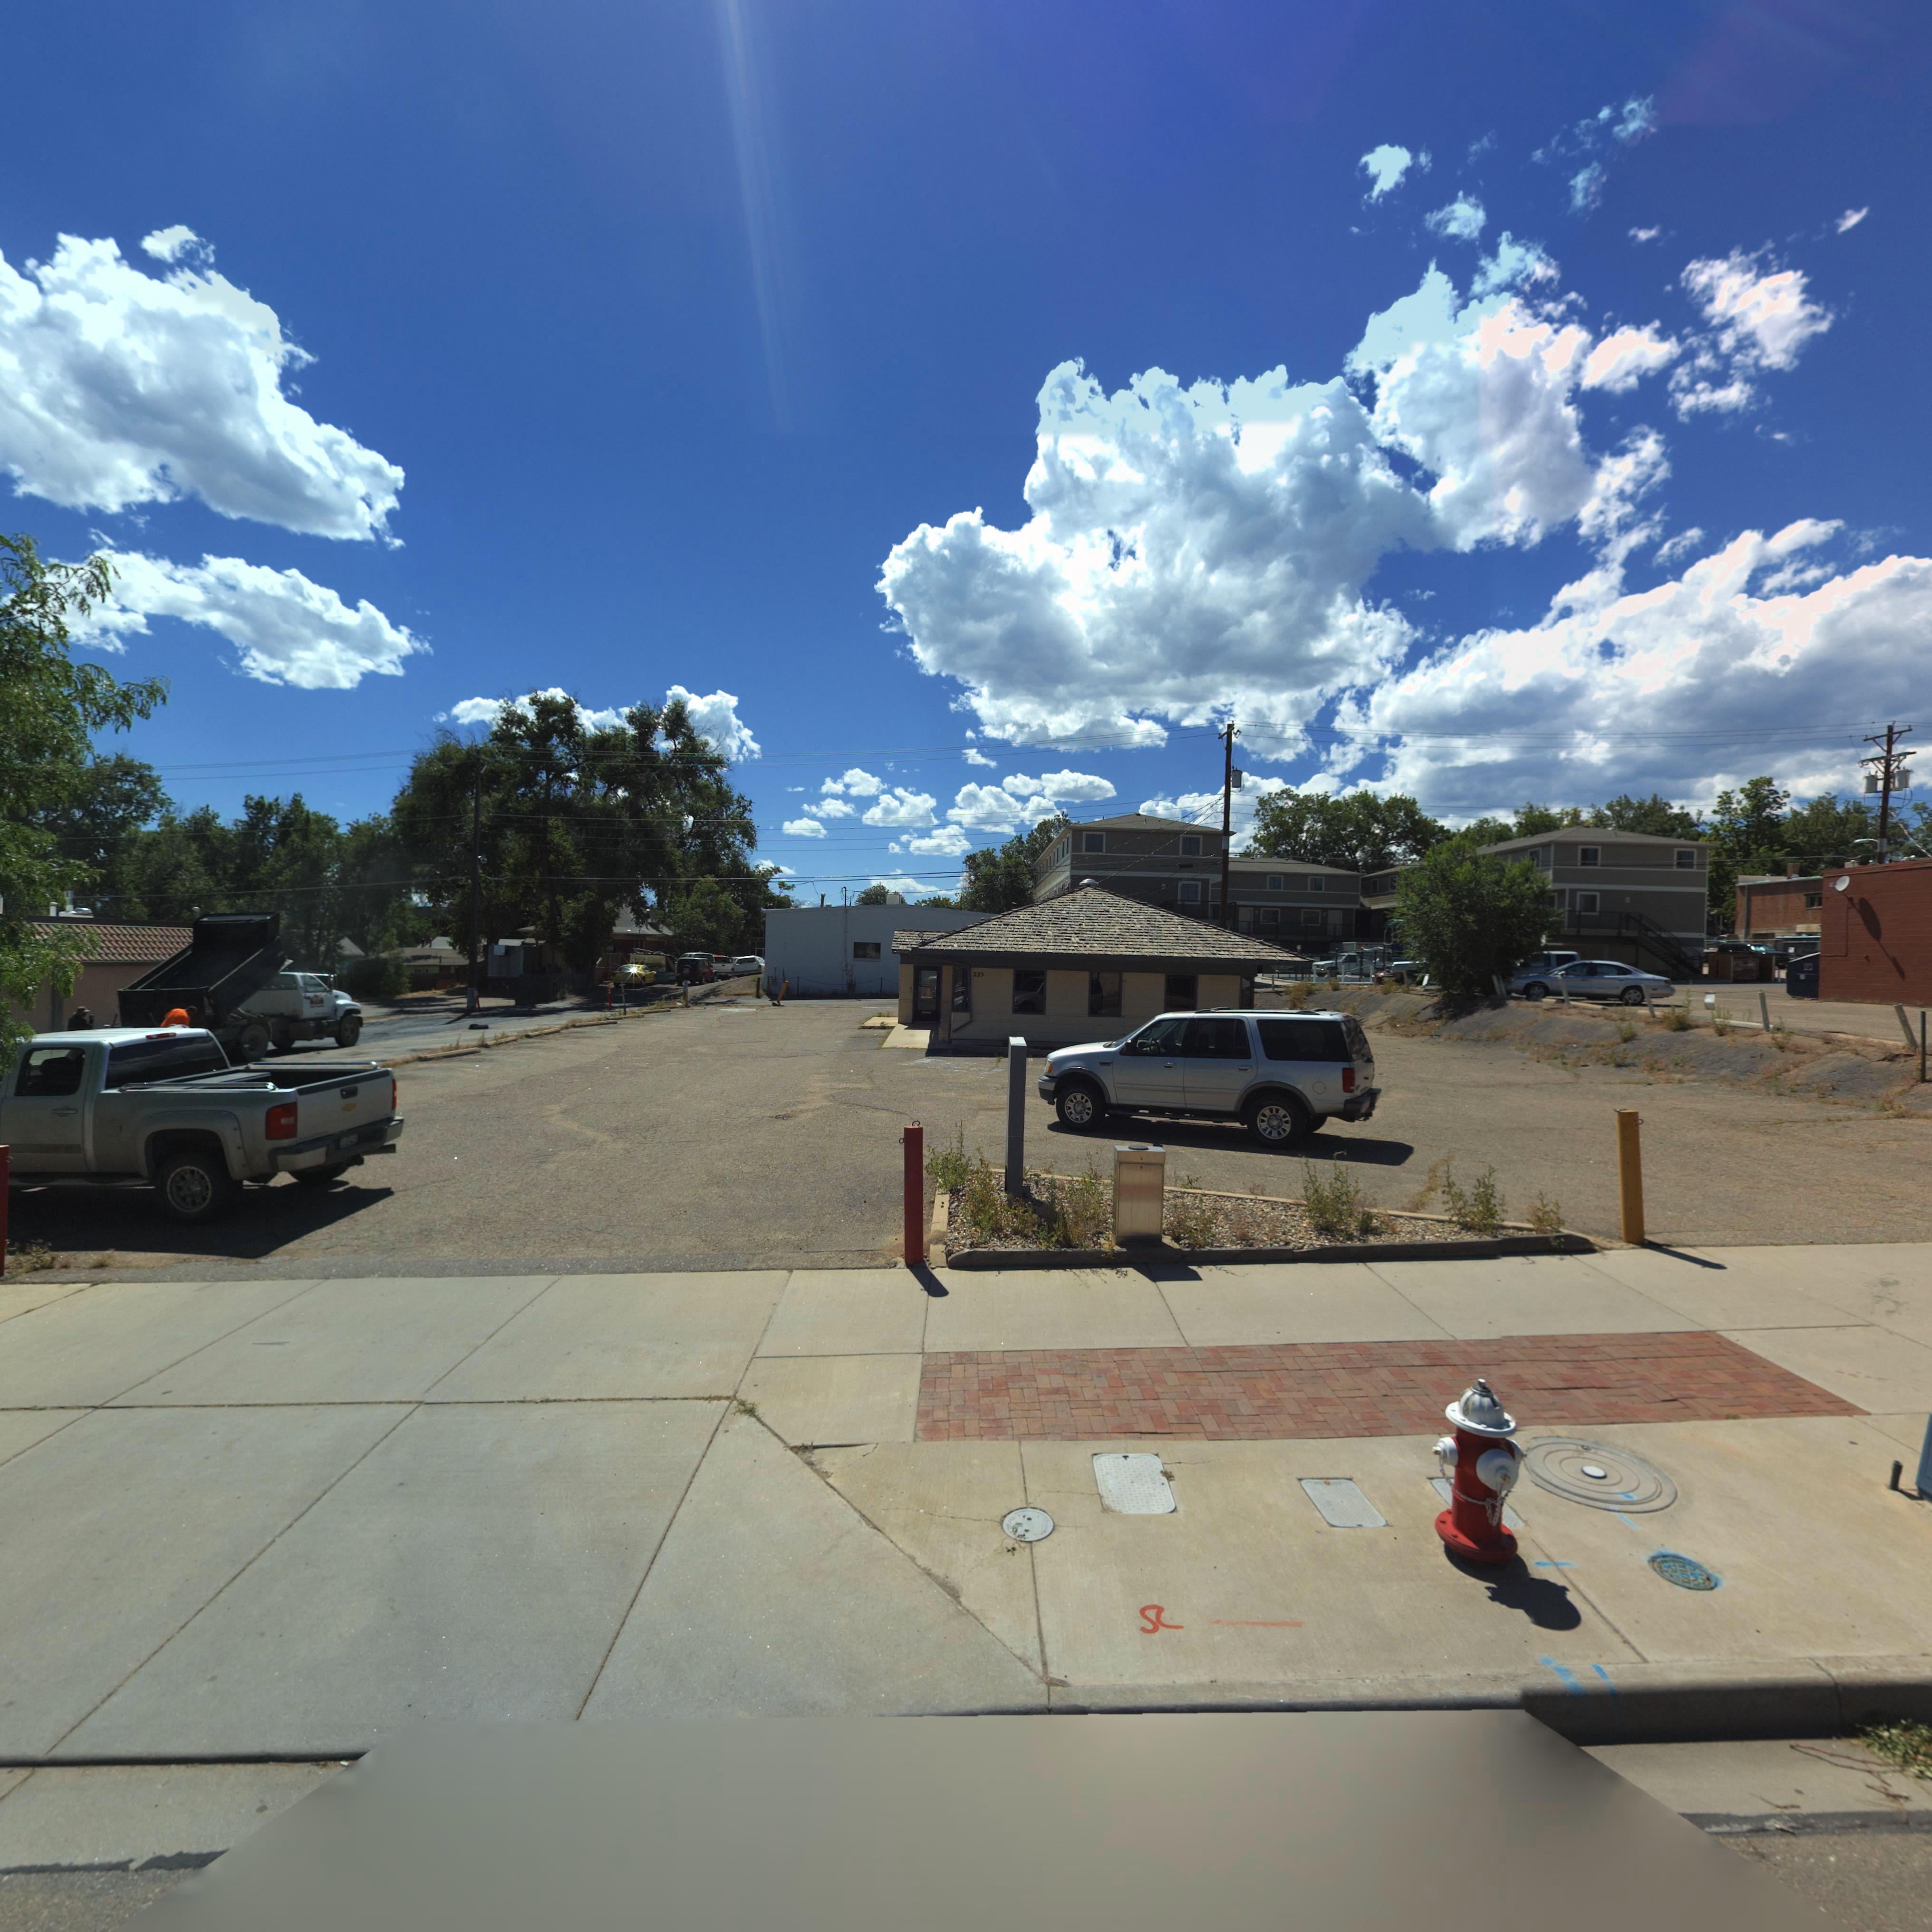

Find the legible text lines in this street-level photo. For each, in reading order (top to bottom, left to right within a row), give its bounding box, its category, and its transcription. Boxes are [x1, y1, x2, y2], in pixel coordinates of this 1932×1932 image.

[973, 972, 984, 977] StreetNumber: 225